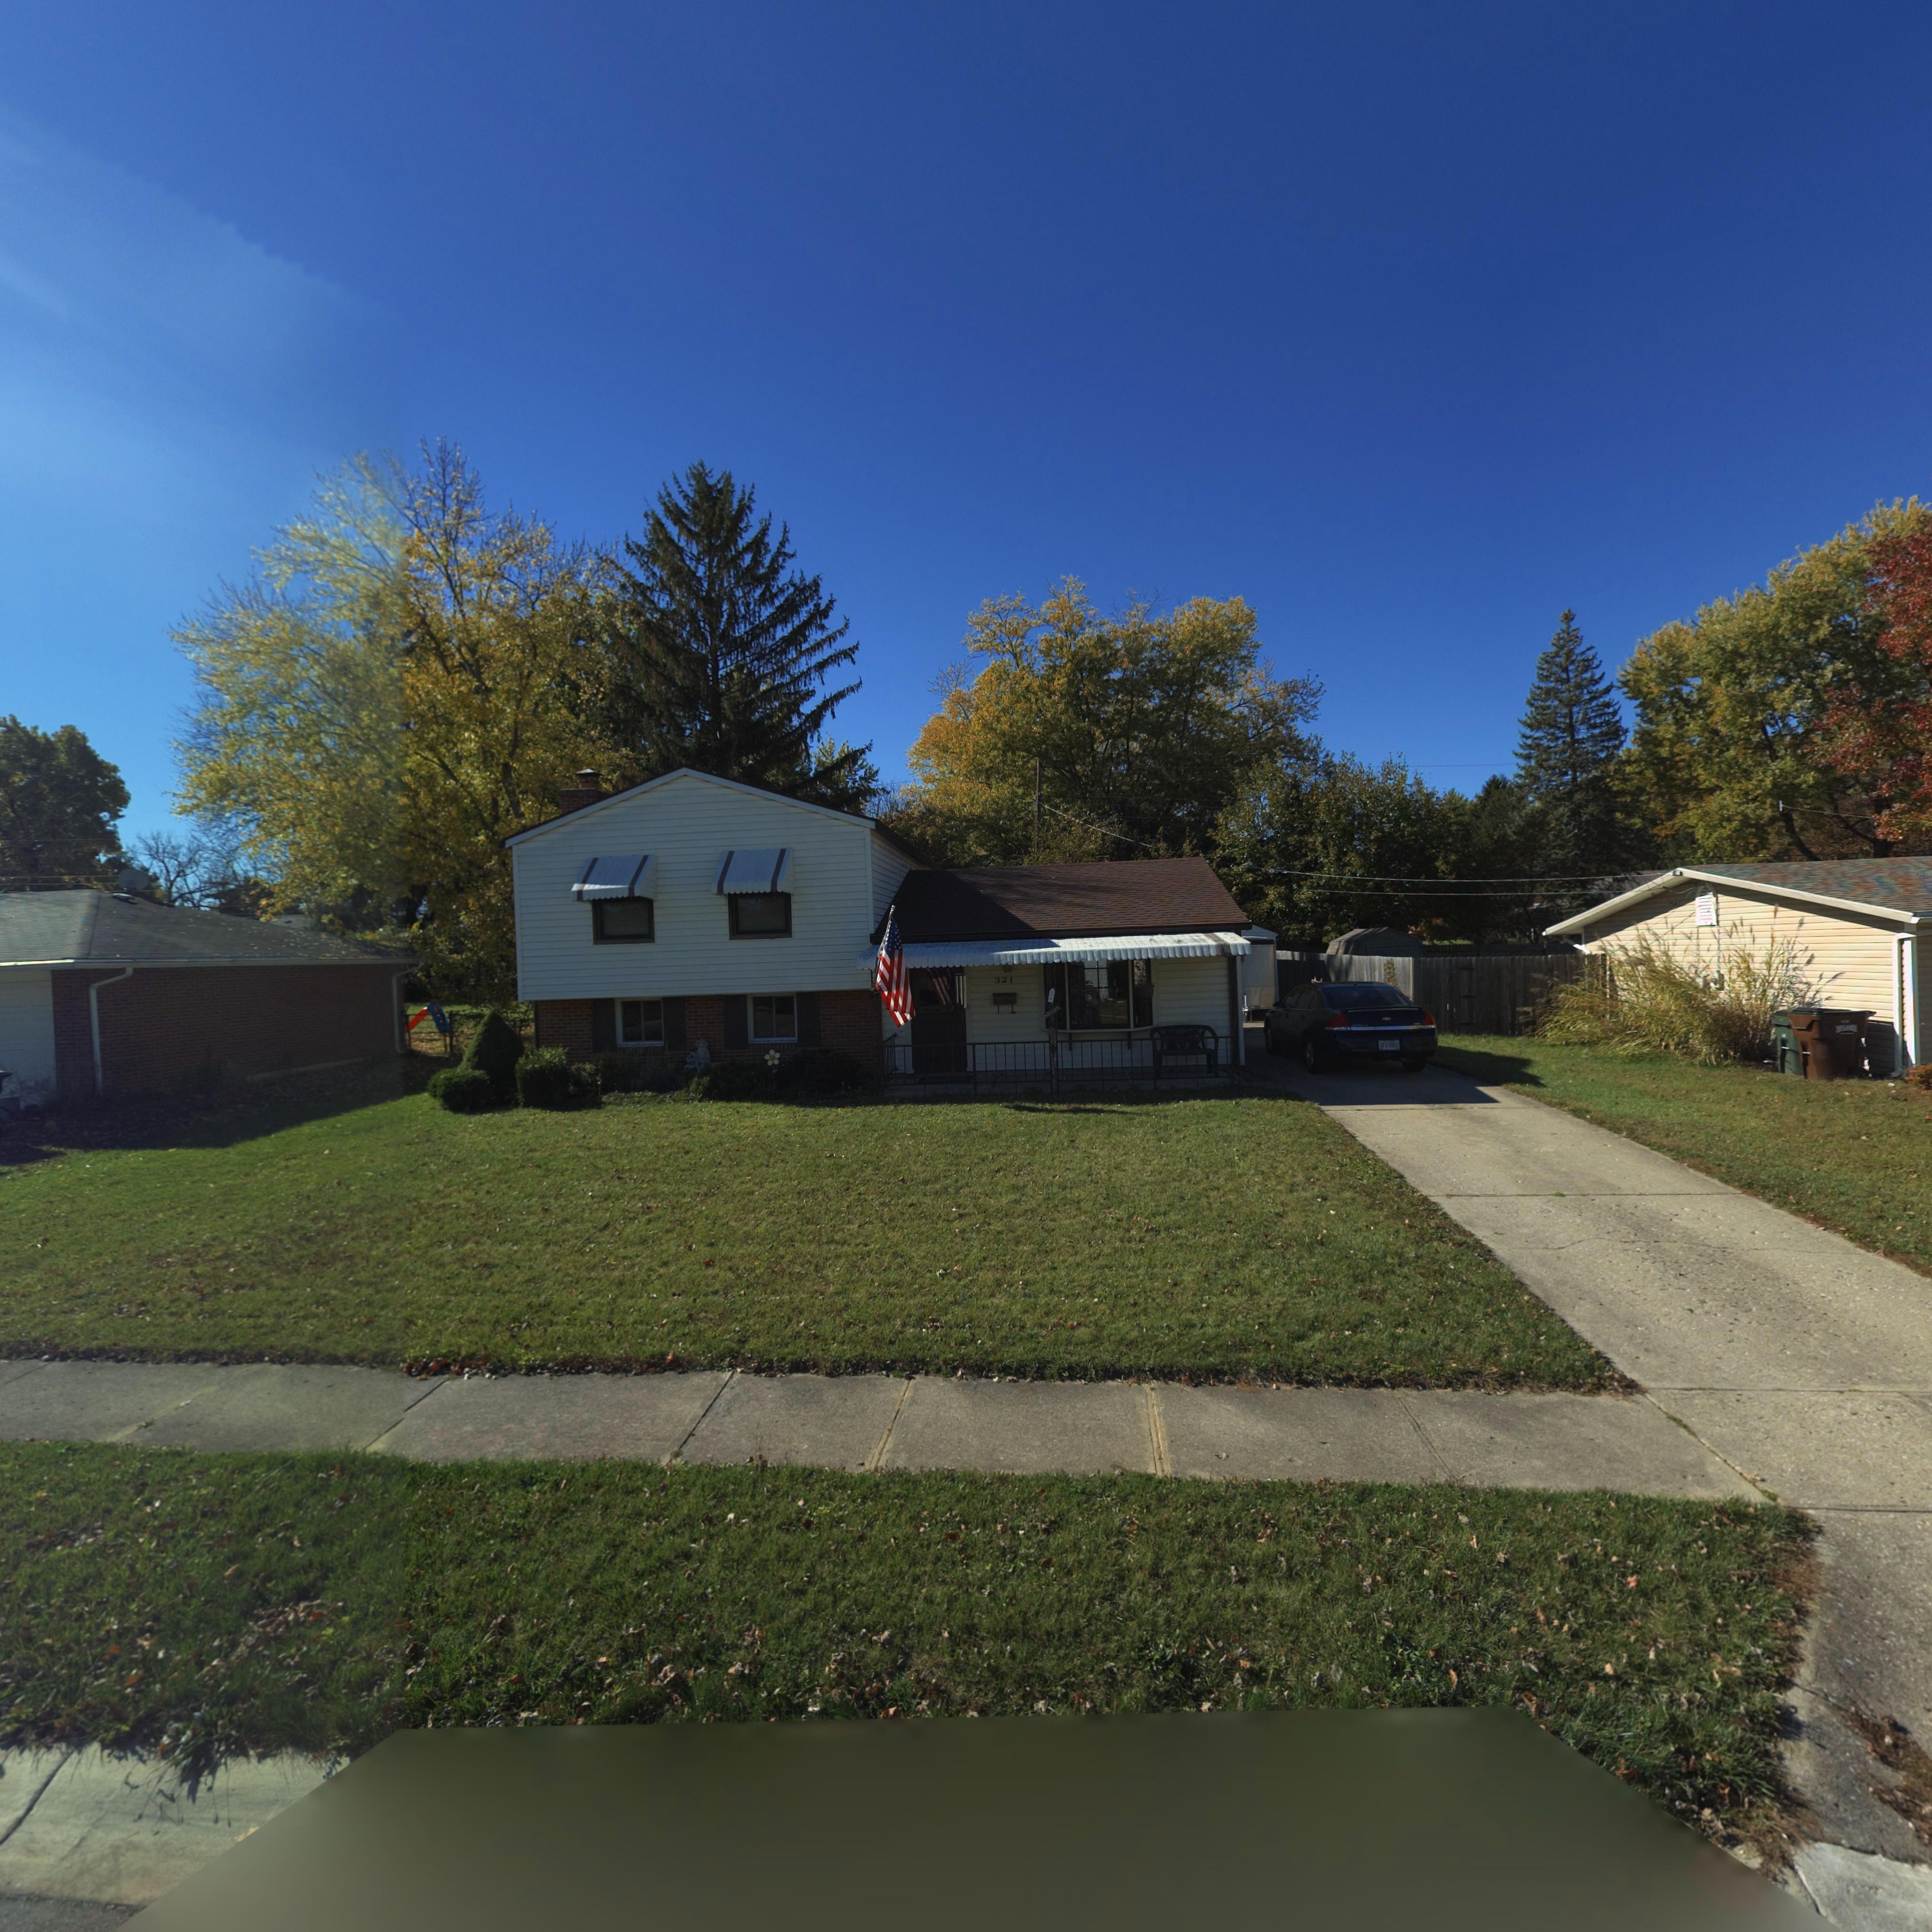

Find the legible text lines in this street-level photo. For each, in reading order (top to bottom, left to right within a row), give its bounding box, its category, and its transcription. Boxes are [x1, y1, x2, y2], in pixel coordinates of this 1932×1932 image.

[994, 976, 1014, 985] StreetNumber: 321